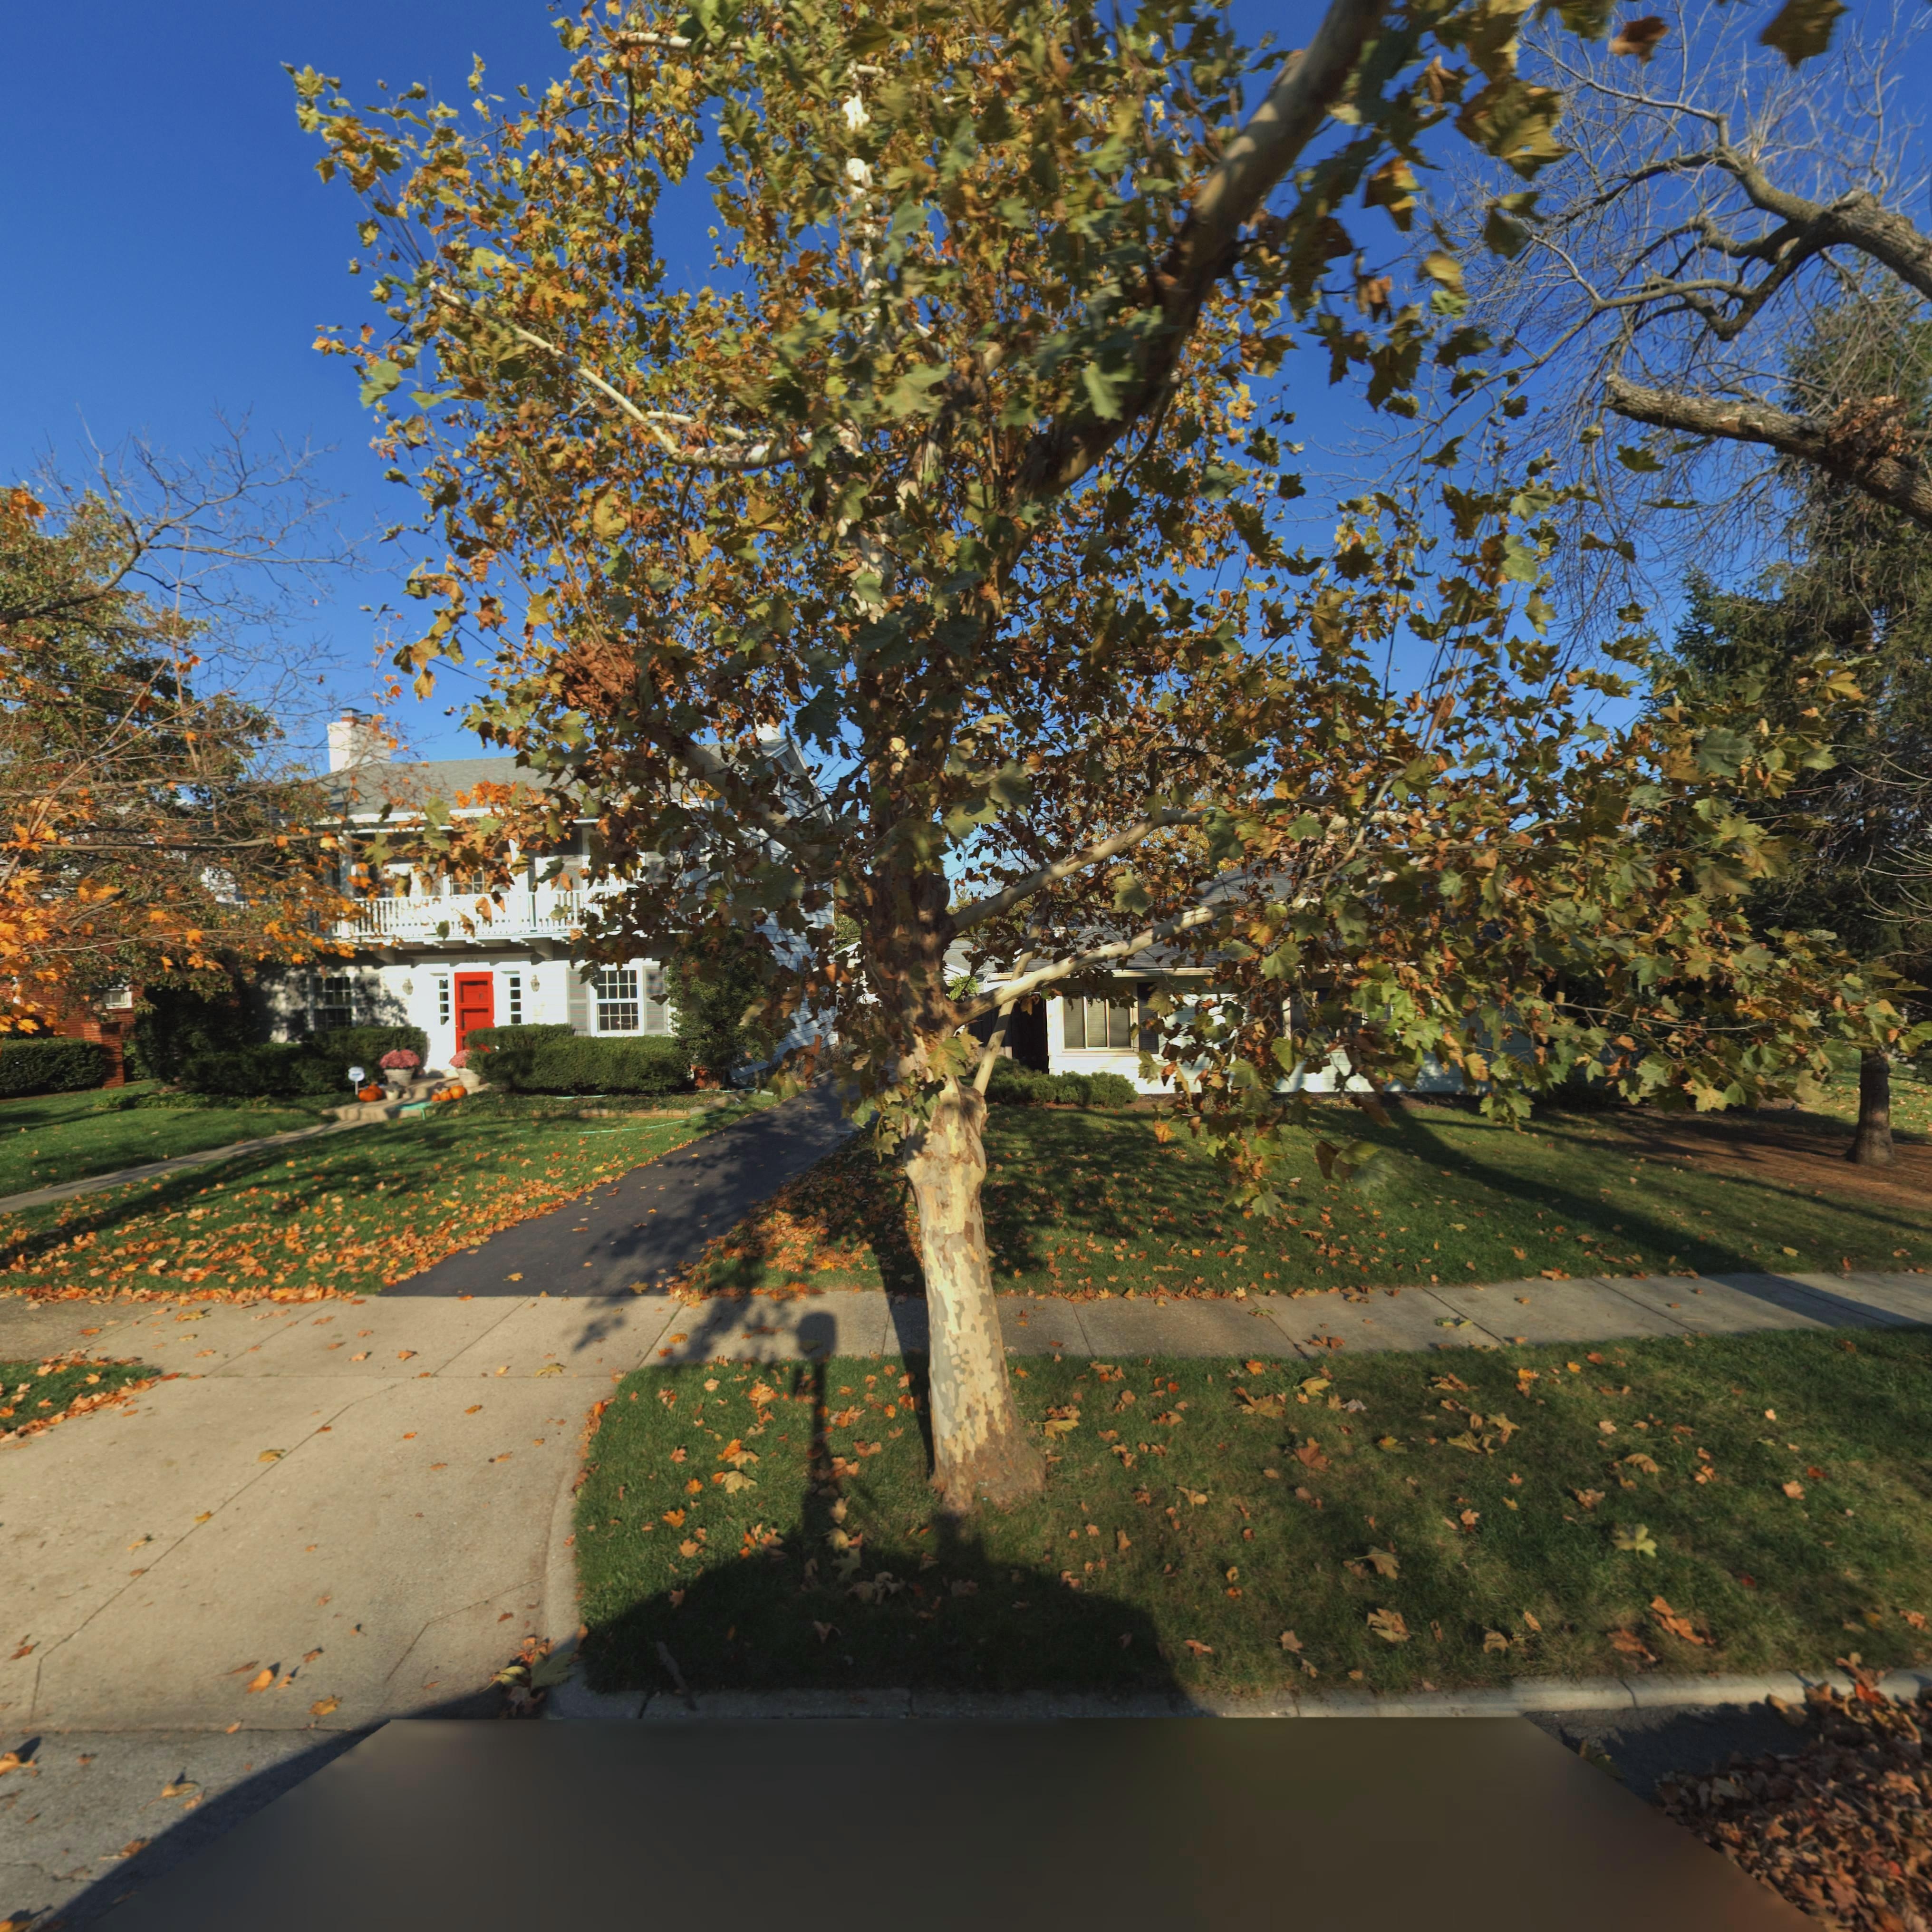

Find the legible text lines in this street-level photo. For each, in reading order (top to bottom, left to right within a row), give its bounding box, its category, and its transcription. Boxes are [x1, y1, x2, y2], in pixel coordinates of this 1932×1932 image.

[464, 958, 479, 964] StreetNumber: *78